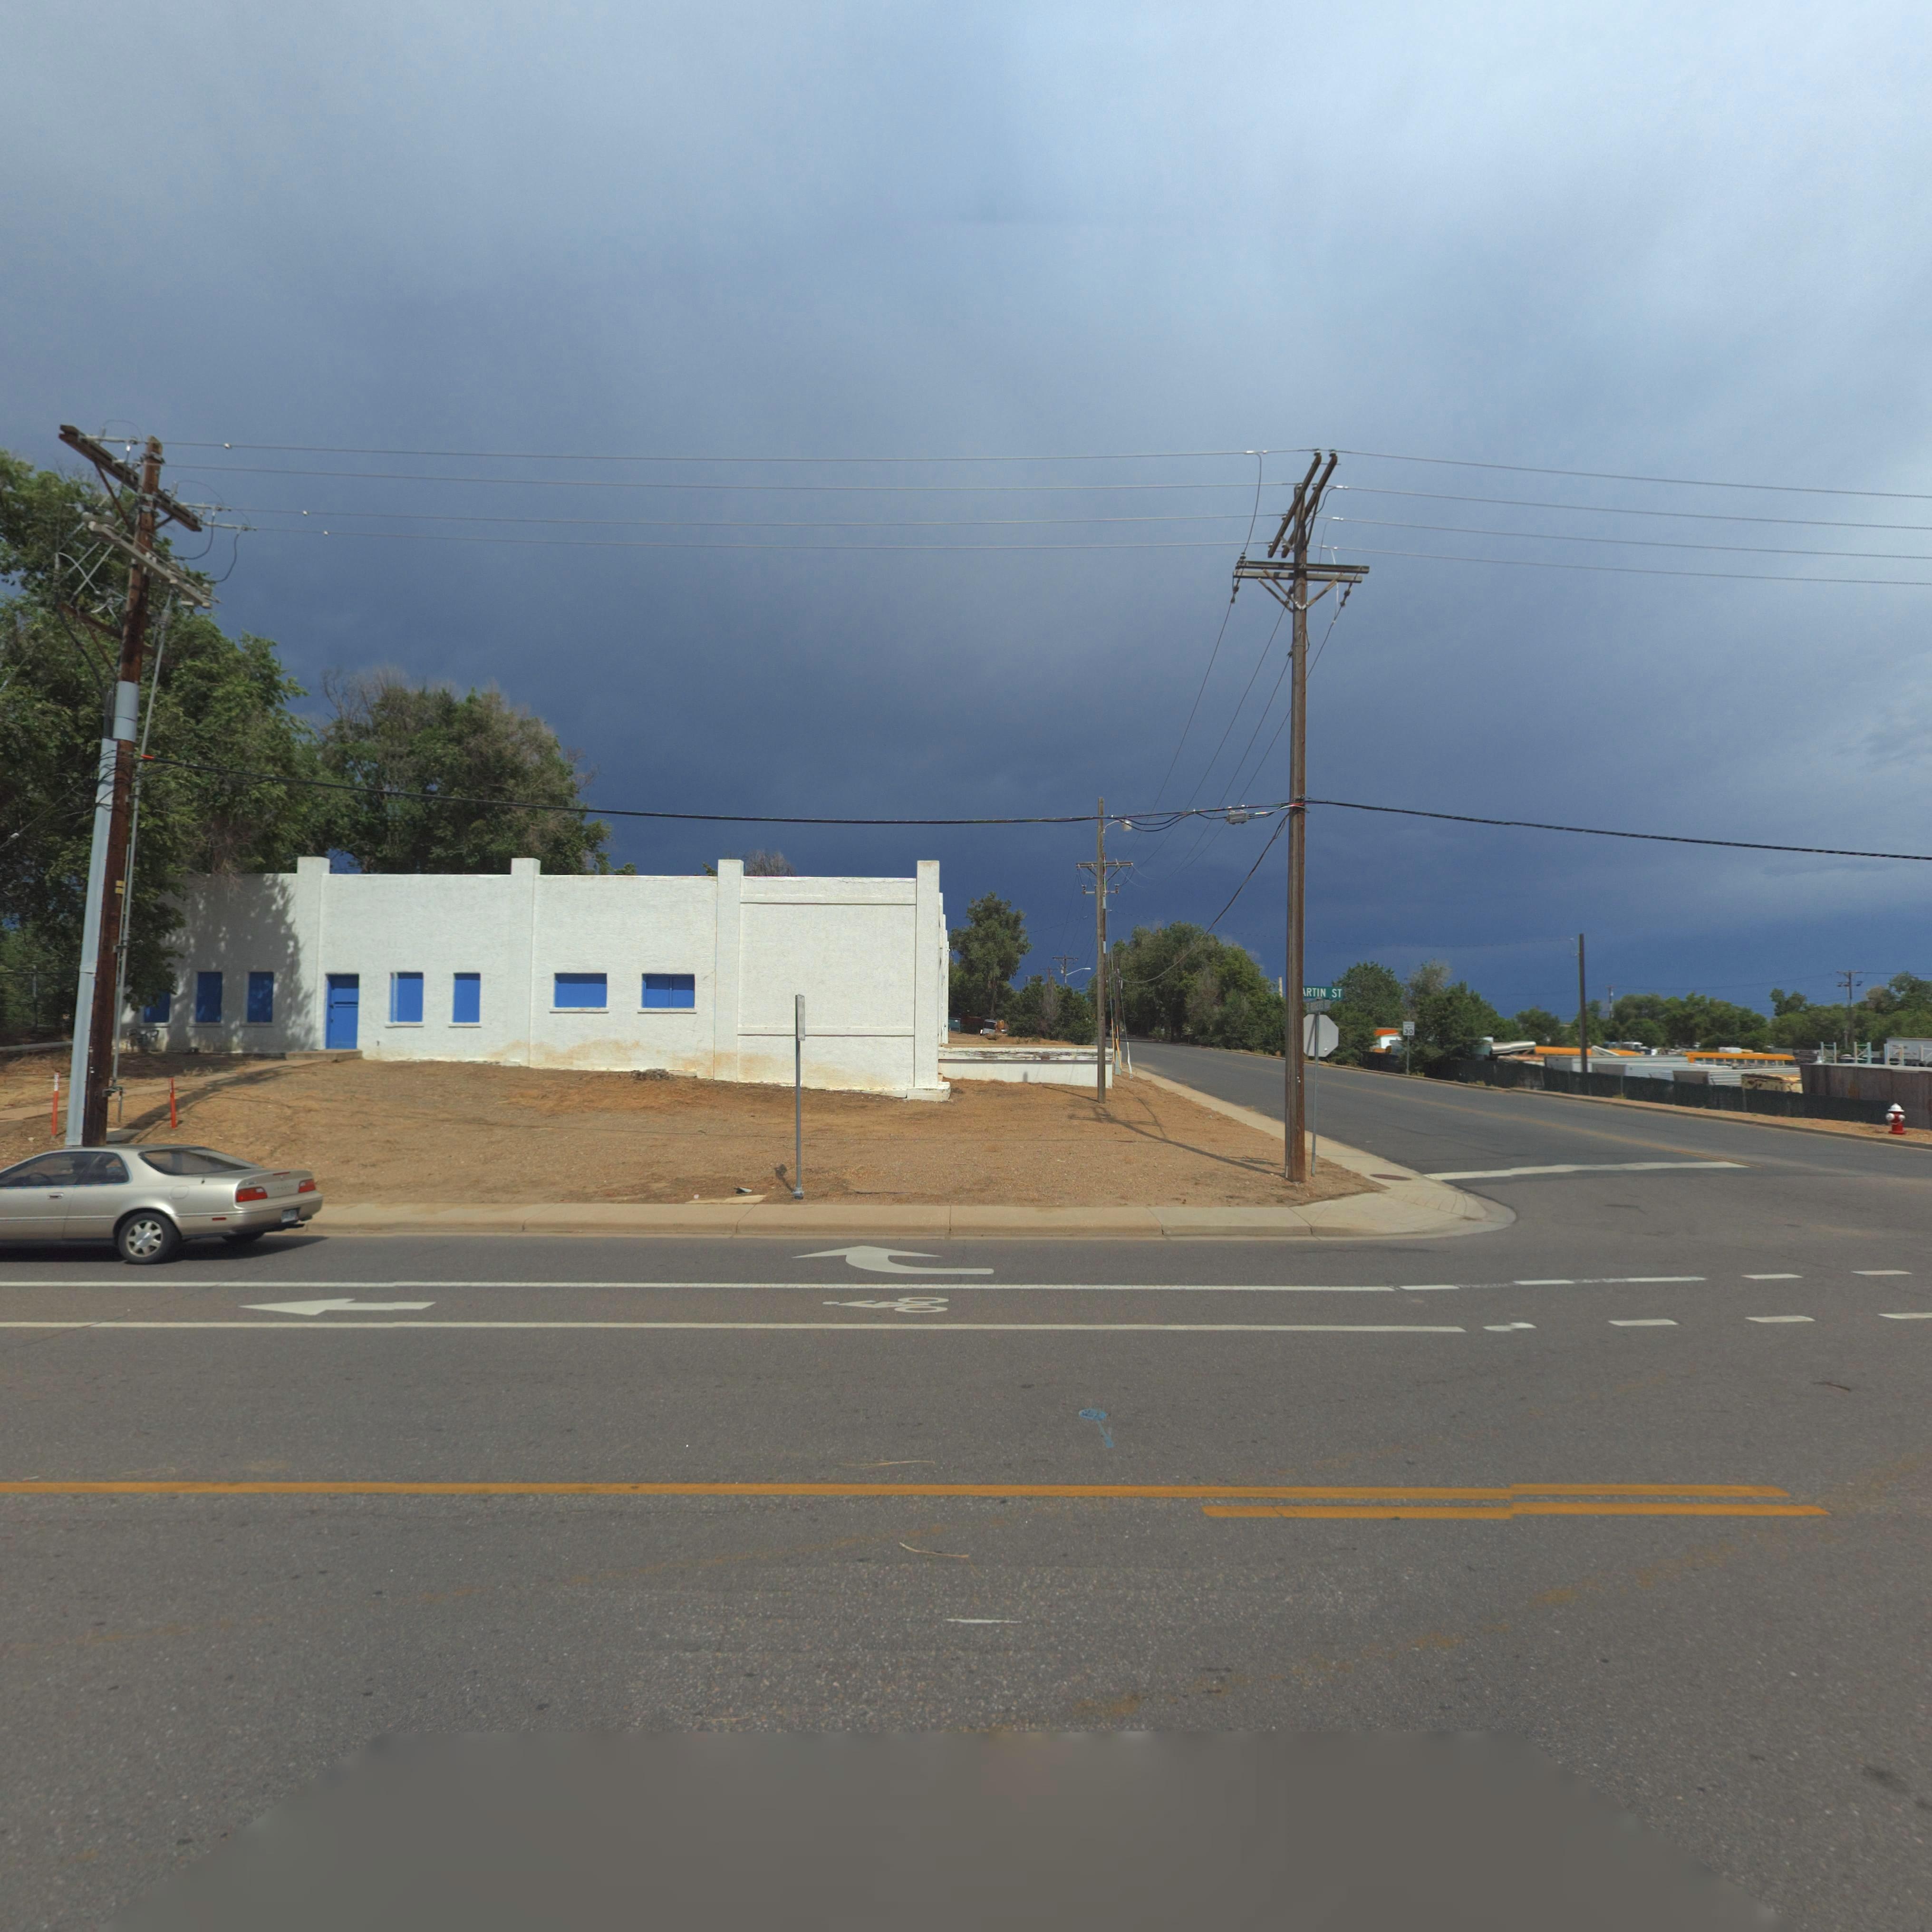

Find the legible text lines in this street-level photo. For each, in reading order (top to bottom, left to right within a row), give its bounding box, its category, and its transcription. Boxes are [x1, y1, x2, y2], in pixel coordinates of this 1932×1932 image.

[1302, 987, 1342, 997] StreetName: *RTIN ST
[1305, 998, 1330, 1012] StreetName: E ROGERS RD